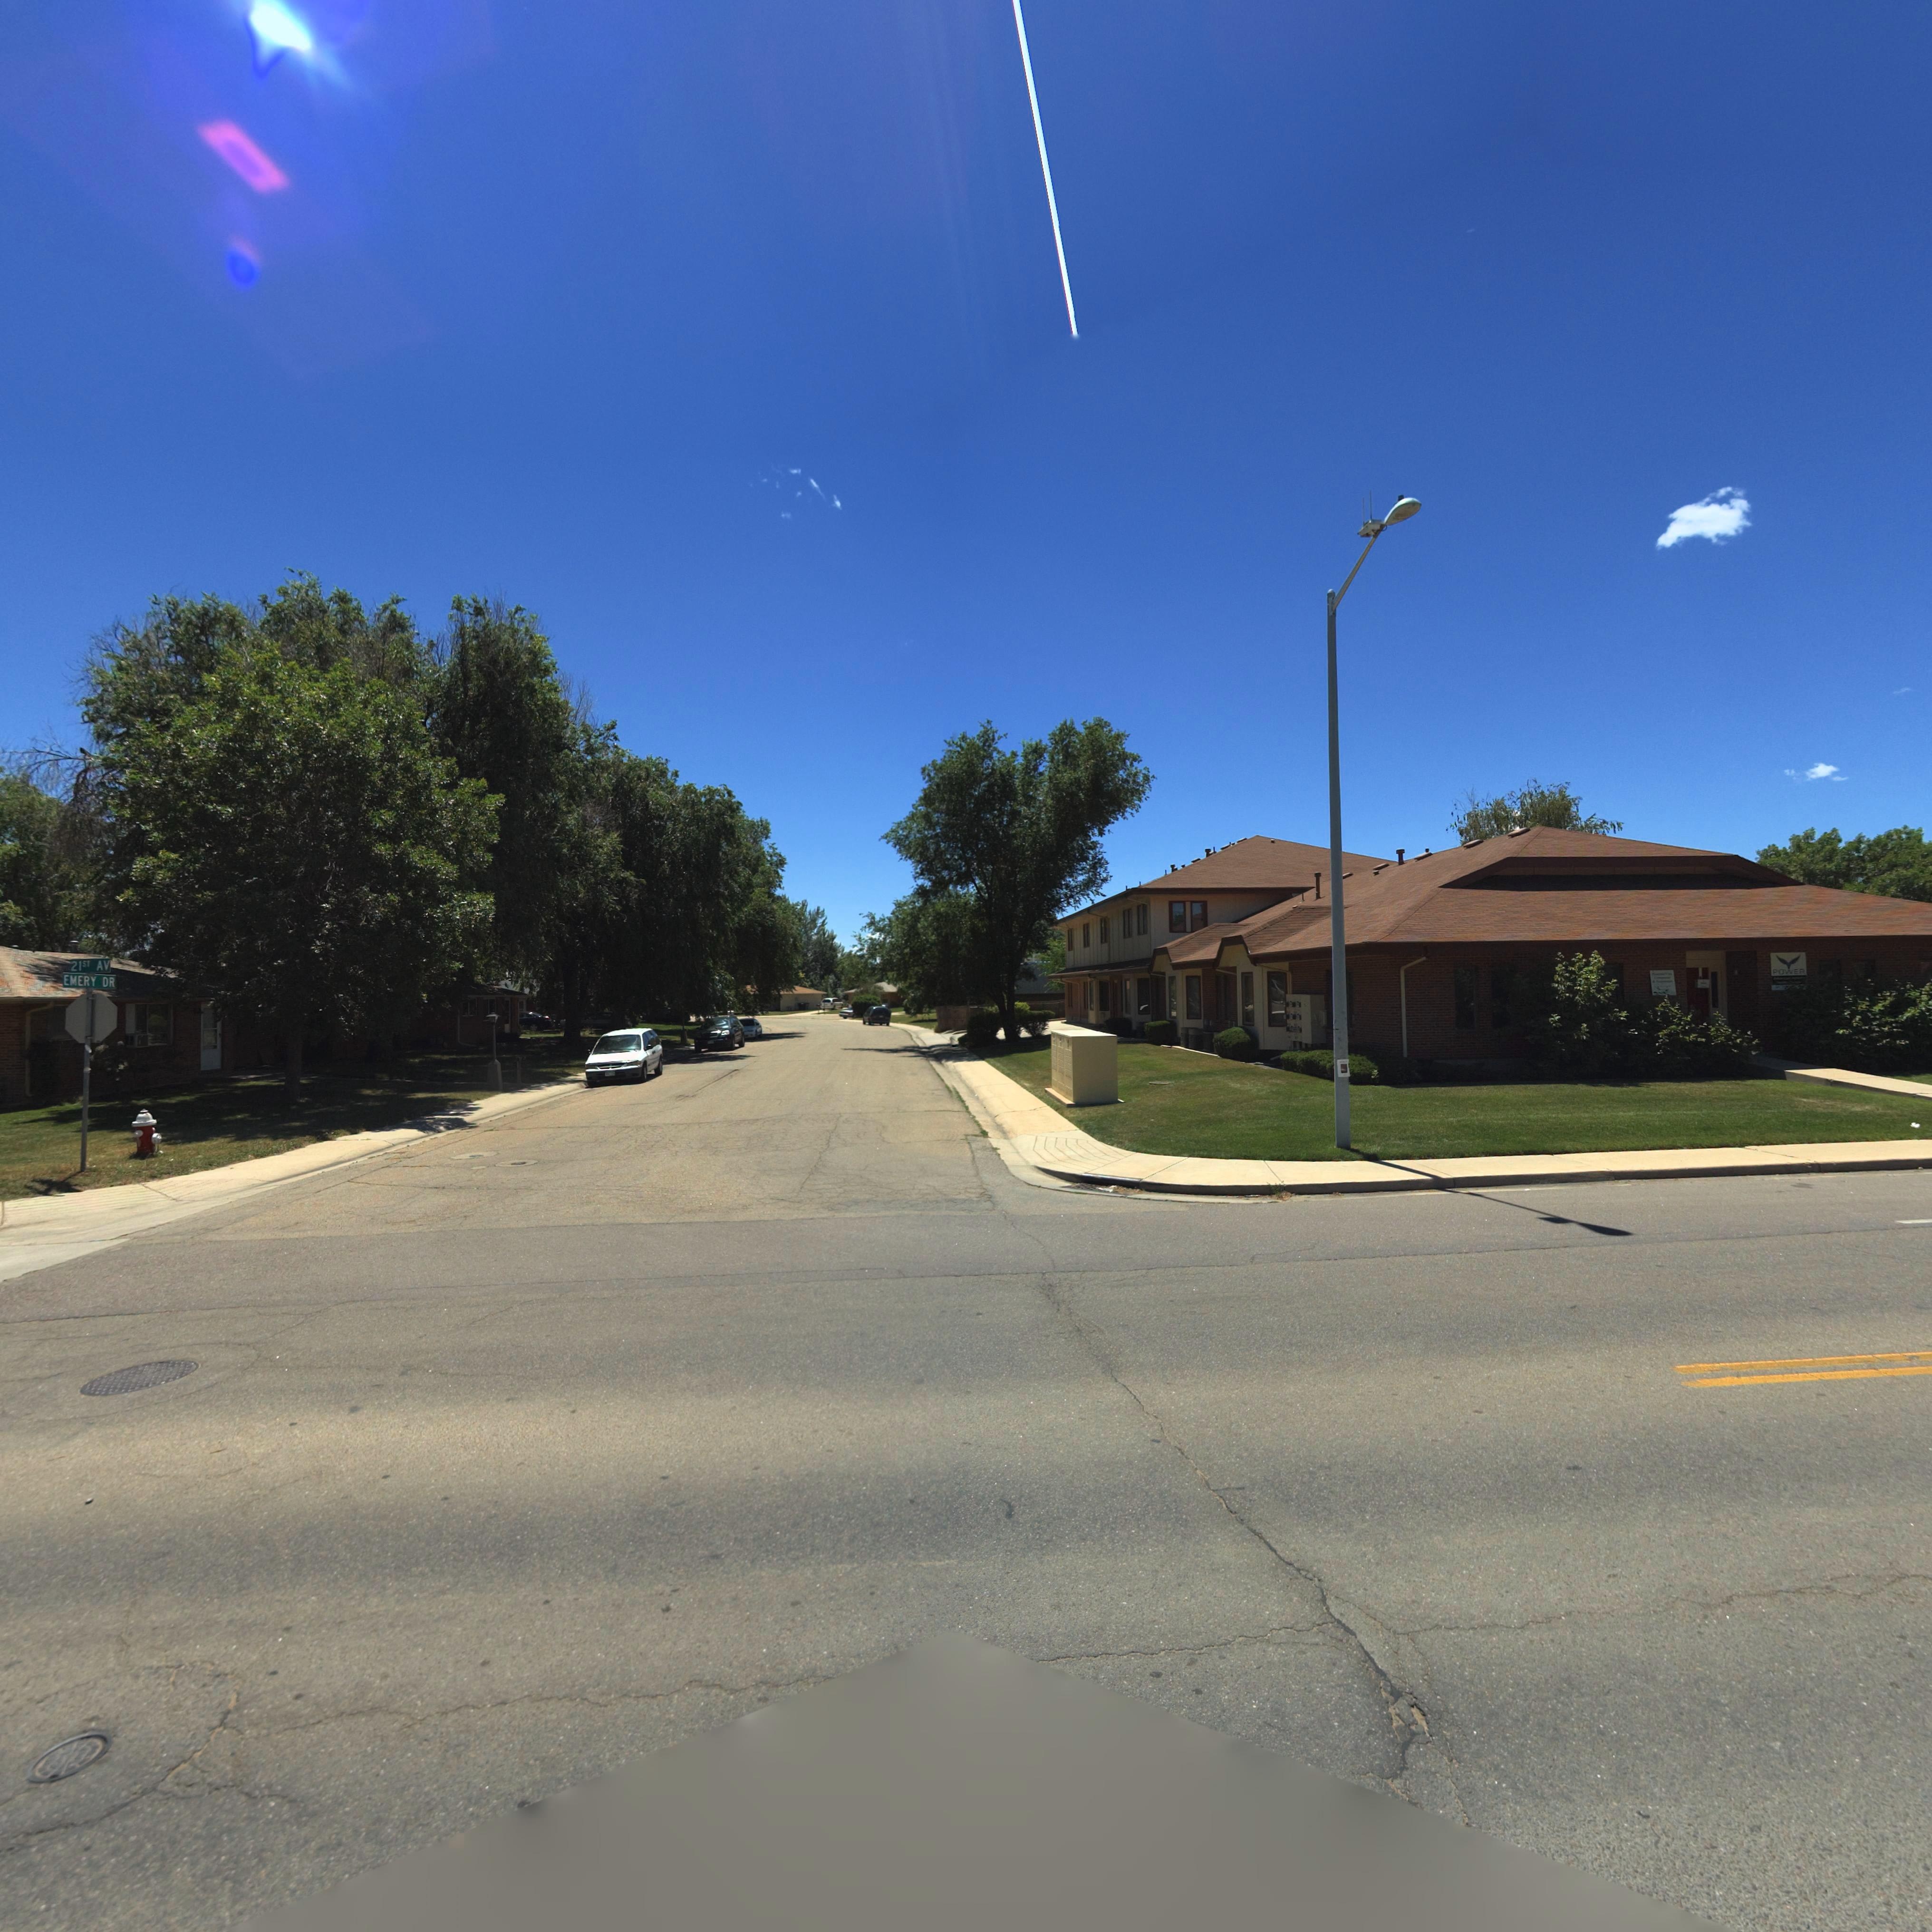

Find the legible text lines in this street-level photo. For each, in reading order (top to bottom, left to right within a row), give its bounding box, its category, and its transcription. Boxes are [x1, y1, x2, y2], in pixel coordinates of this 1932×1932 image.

[70, 959, 110, 972] StreetName: 21ST AV
[64, 973, 115, 988] StreetName: EMERY DR